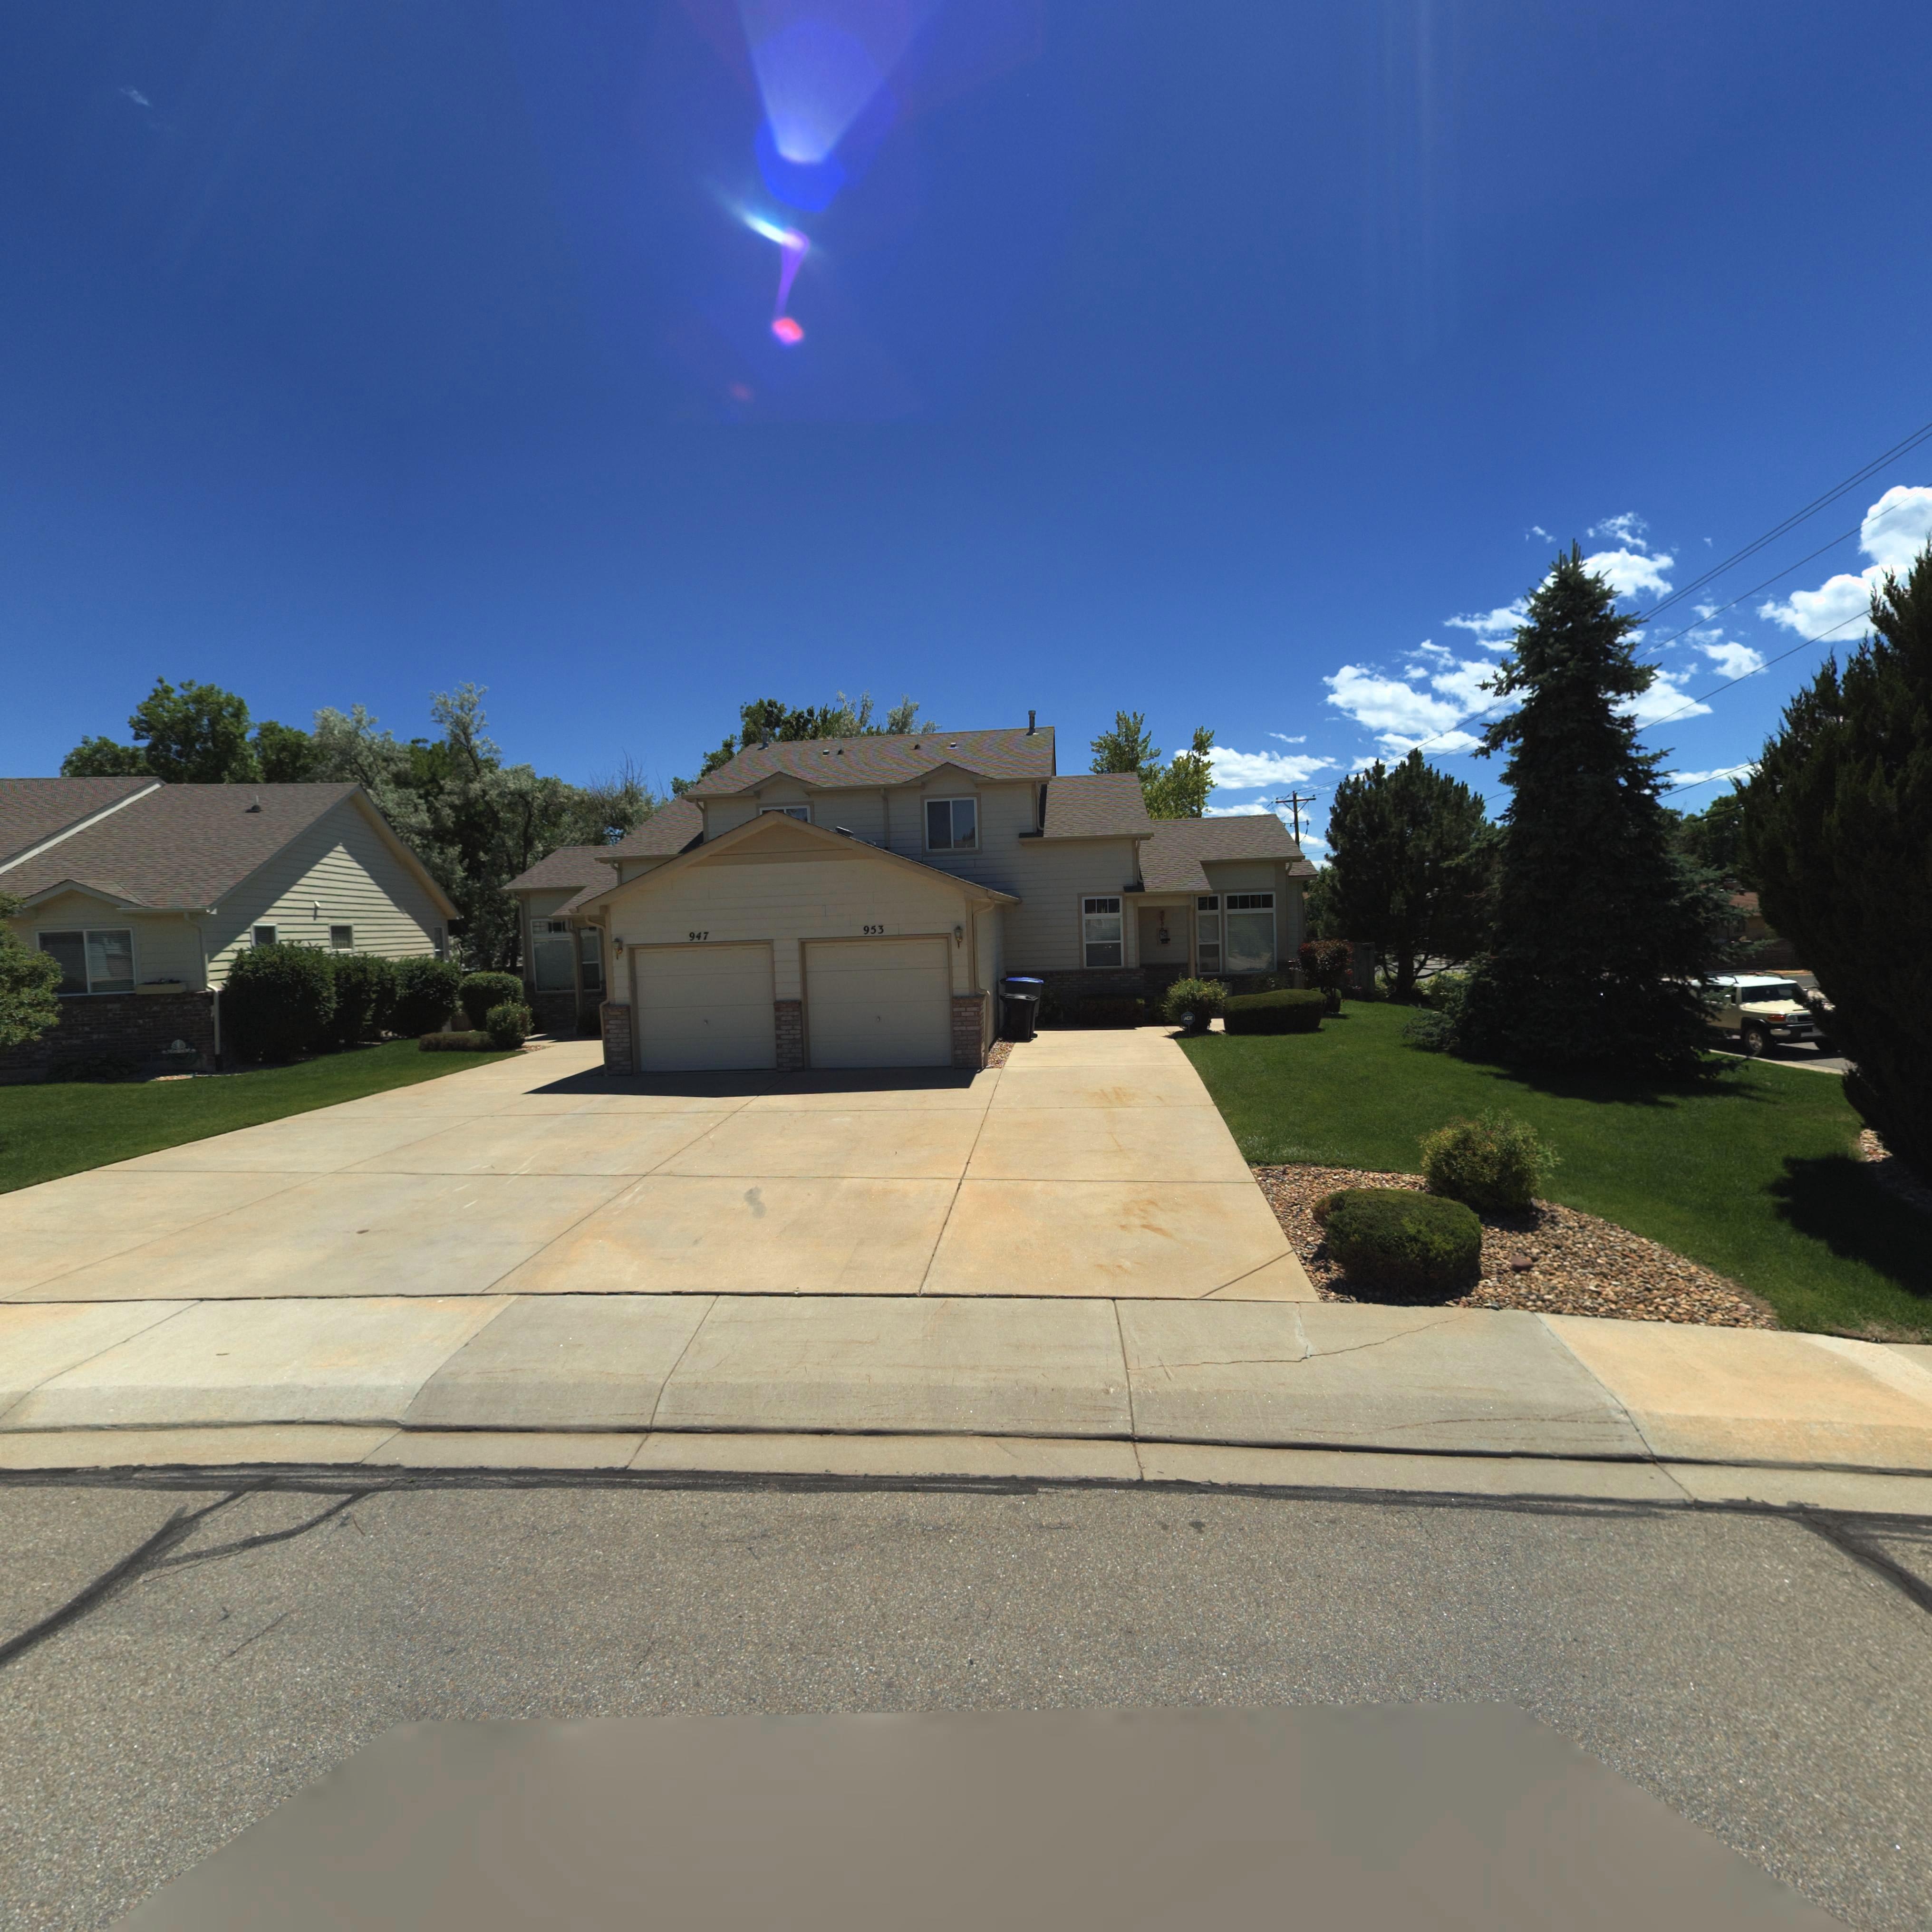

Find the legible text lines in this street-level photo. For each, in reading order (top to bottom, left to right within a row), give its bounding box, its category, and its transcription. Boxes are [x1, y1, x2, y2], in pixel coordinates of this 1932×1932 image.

[863, 925, 884, 935] StreetNumber: 953
[688, 930, 710, 941] StreetNumber: 947